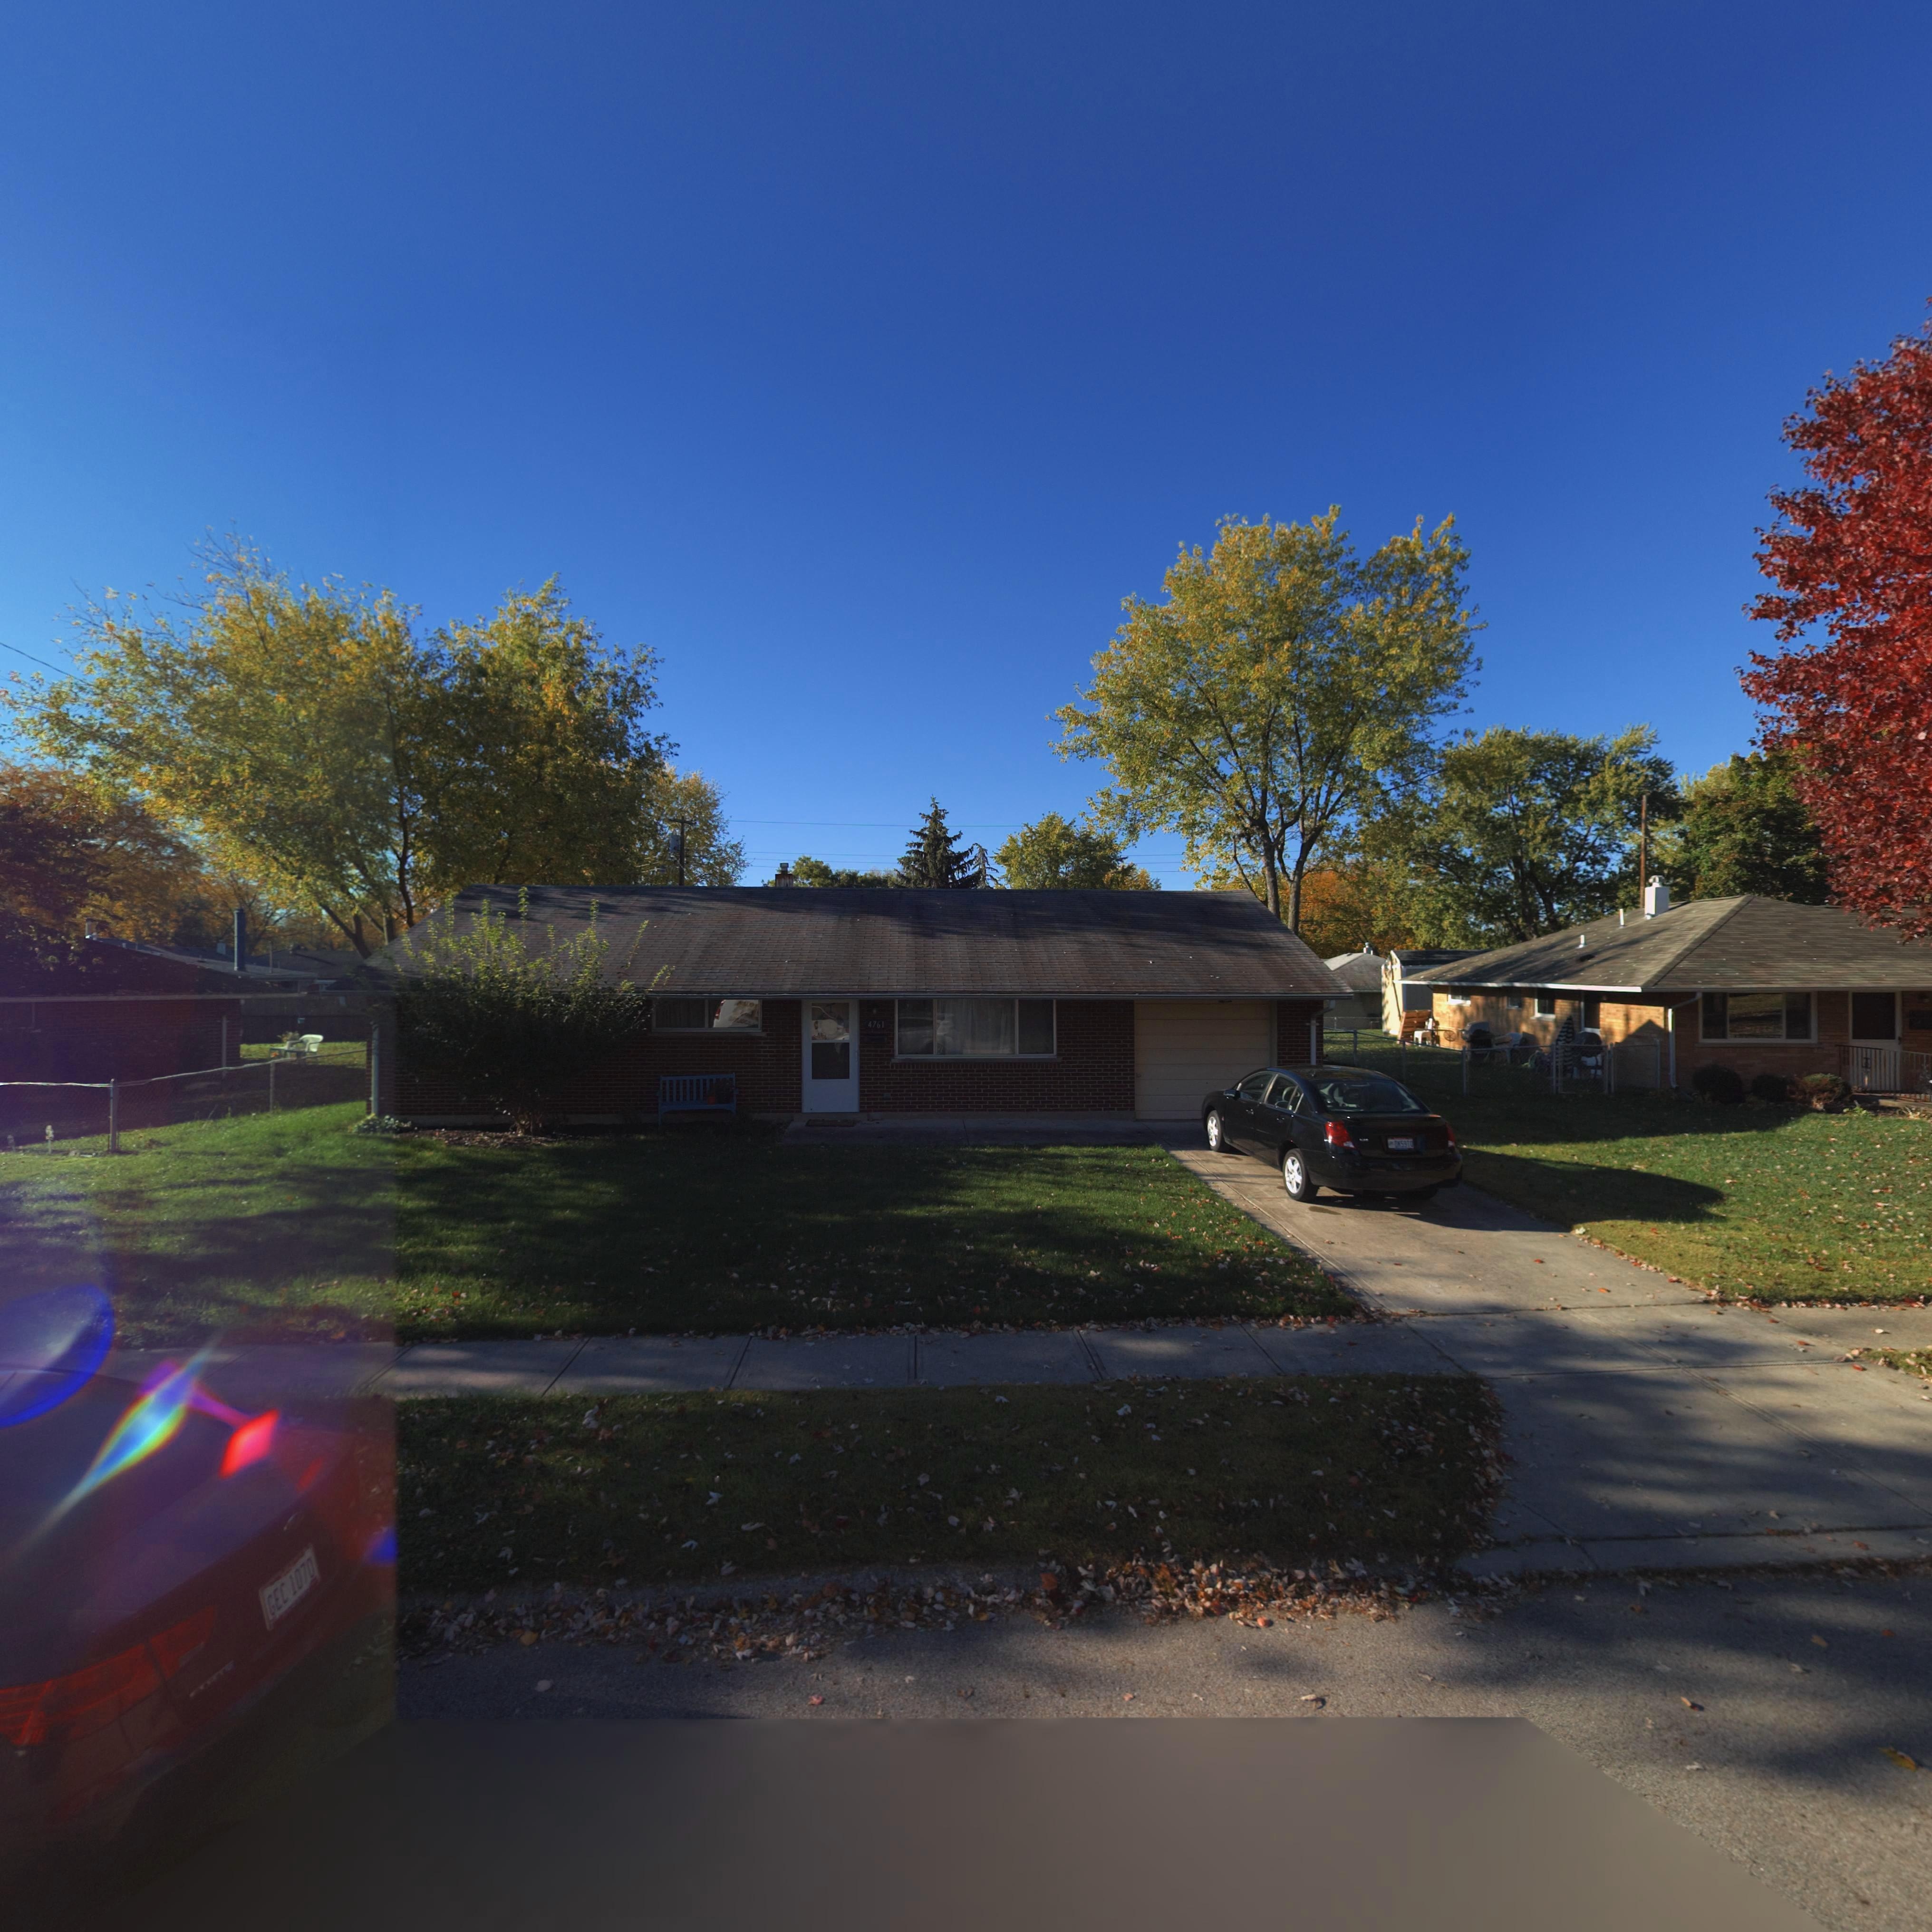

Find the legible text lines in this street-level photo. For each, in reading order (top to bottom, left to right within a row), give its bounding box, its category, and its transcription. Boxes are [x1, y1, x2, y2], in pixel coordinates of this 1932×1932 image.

[867, 1020, 885, 1029] StreetNumber: 4761